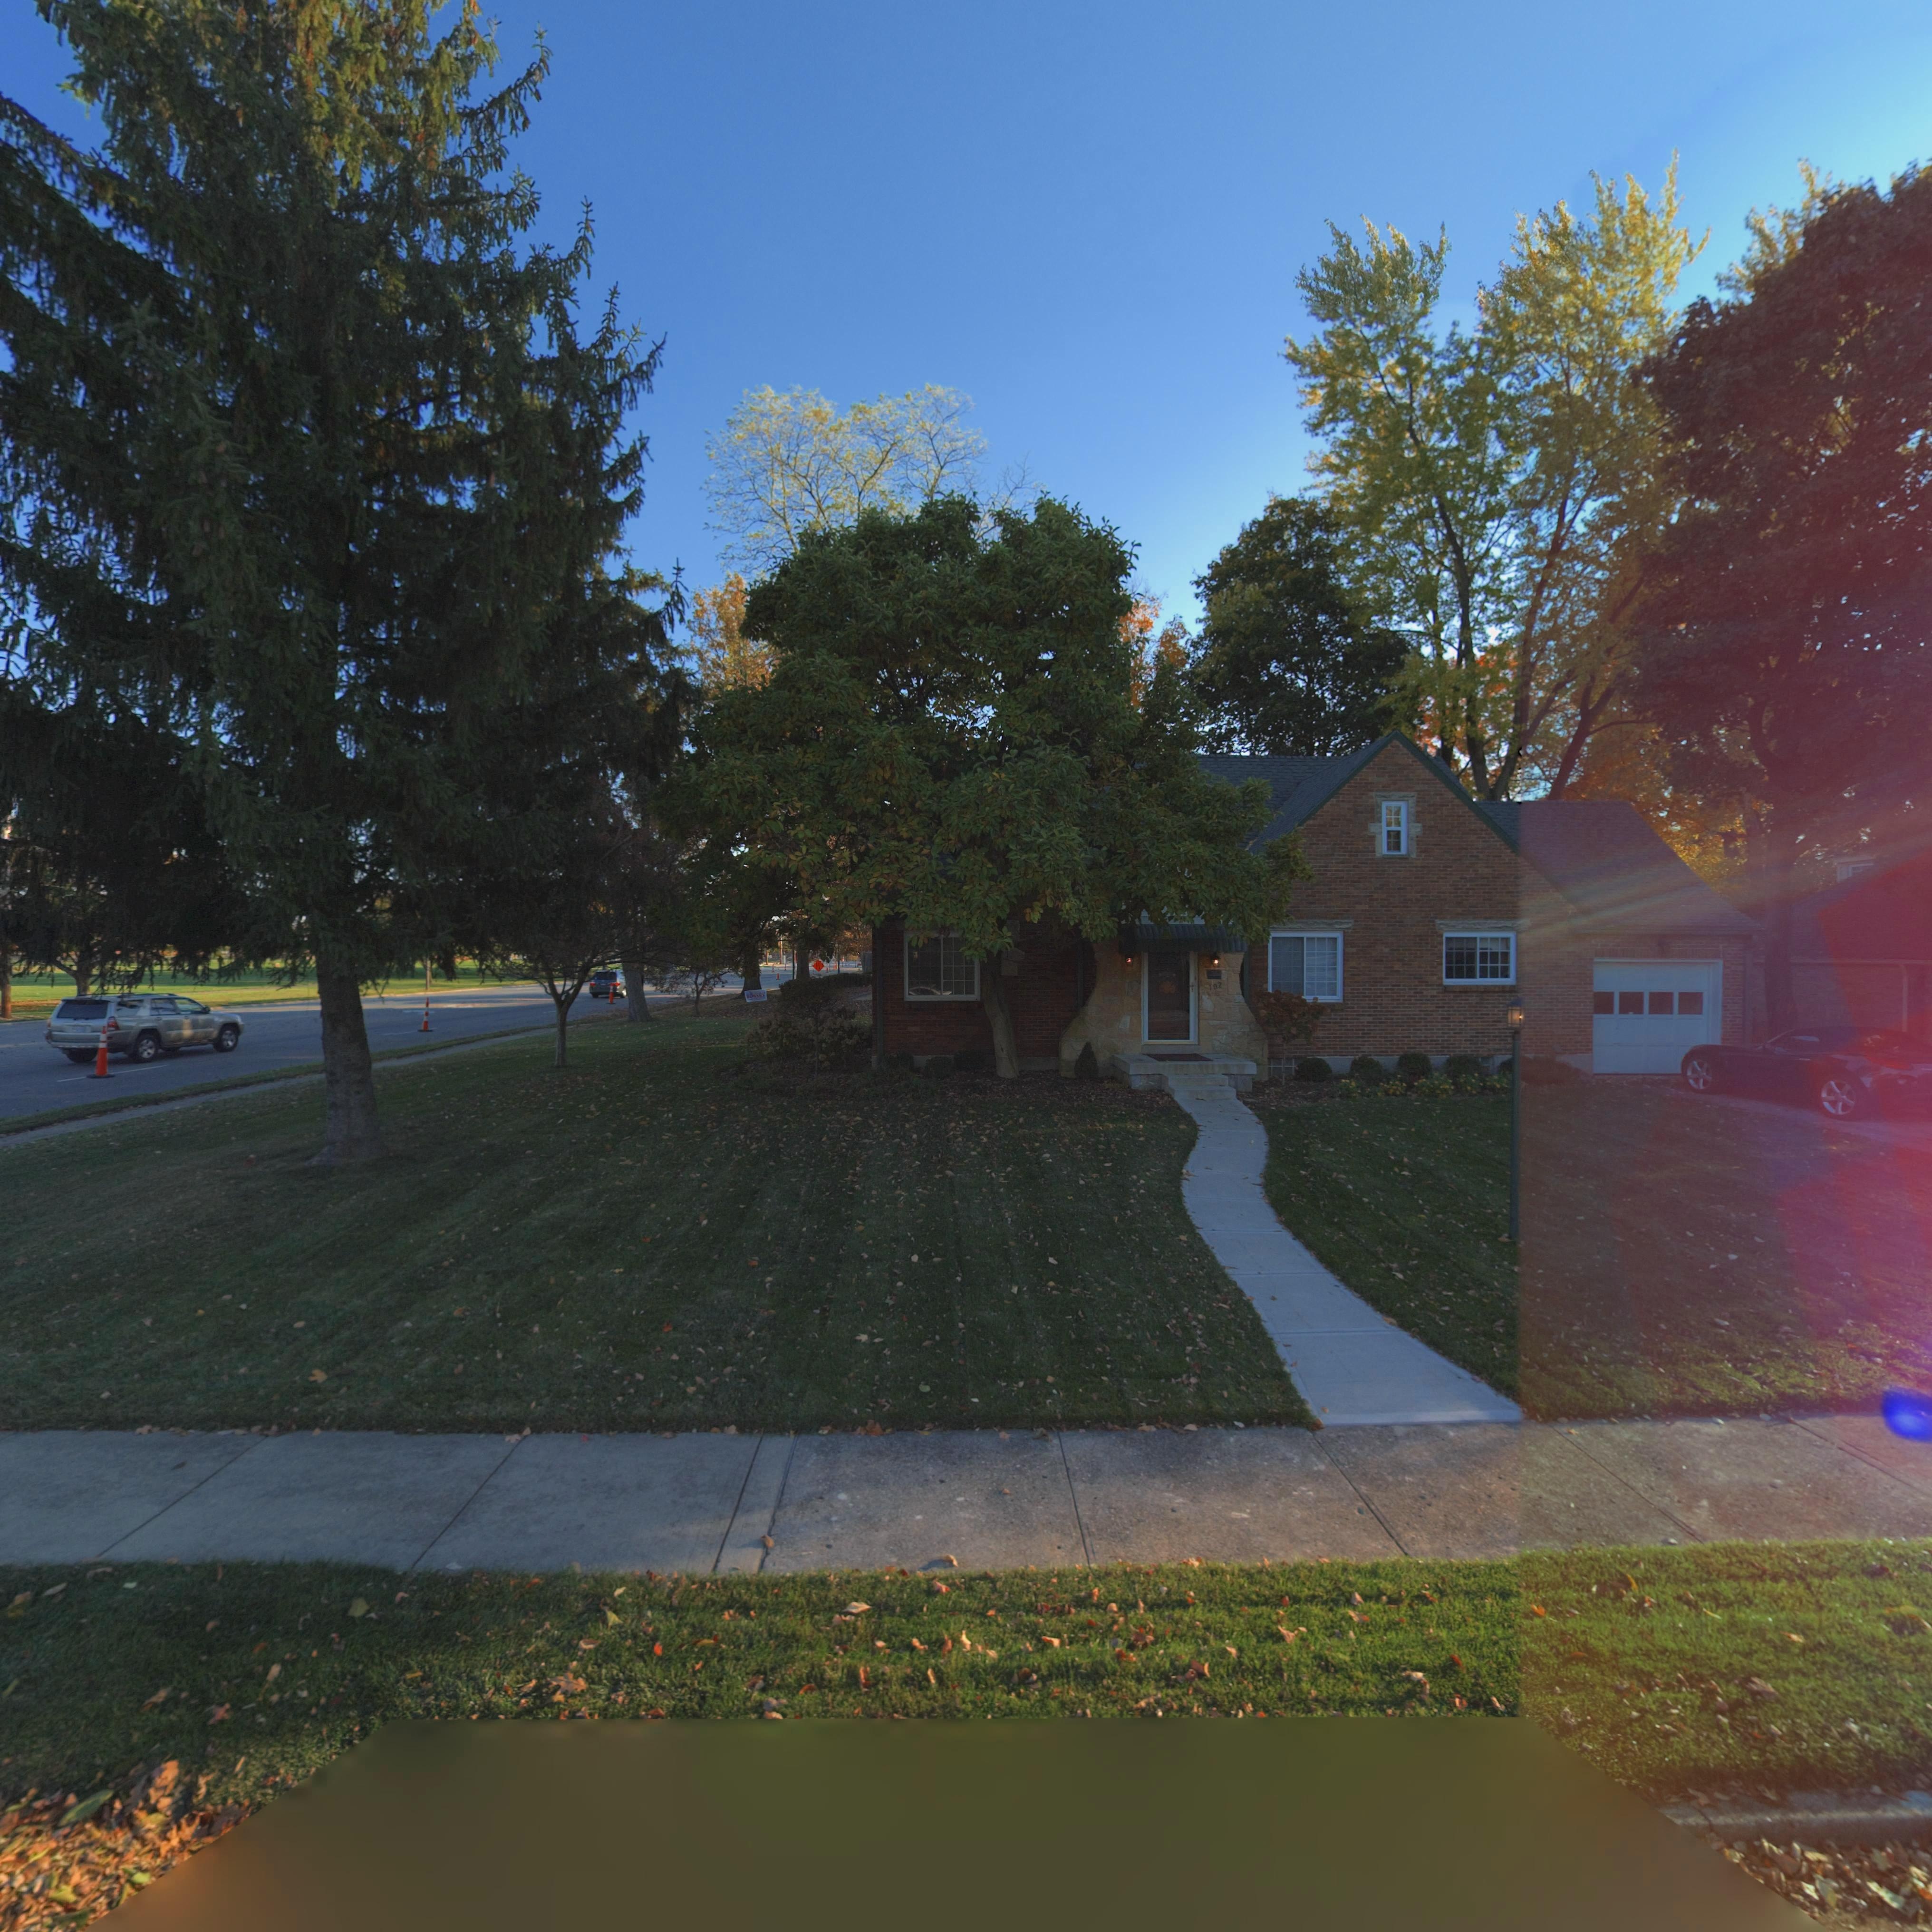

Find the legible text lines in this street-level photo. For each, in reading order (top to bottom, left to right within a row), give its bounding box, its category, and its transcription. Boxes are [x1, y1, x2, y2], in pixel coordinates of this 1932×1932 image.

[1207, 981, 1223, 991] StreetNumber: 102